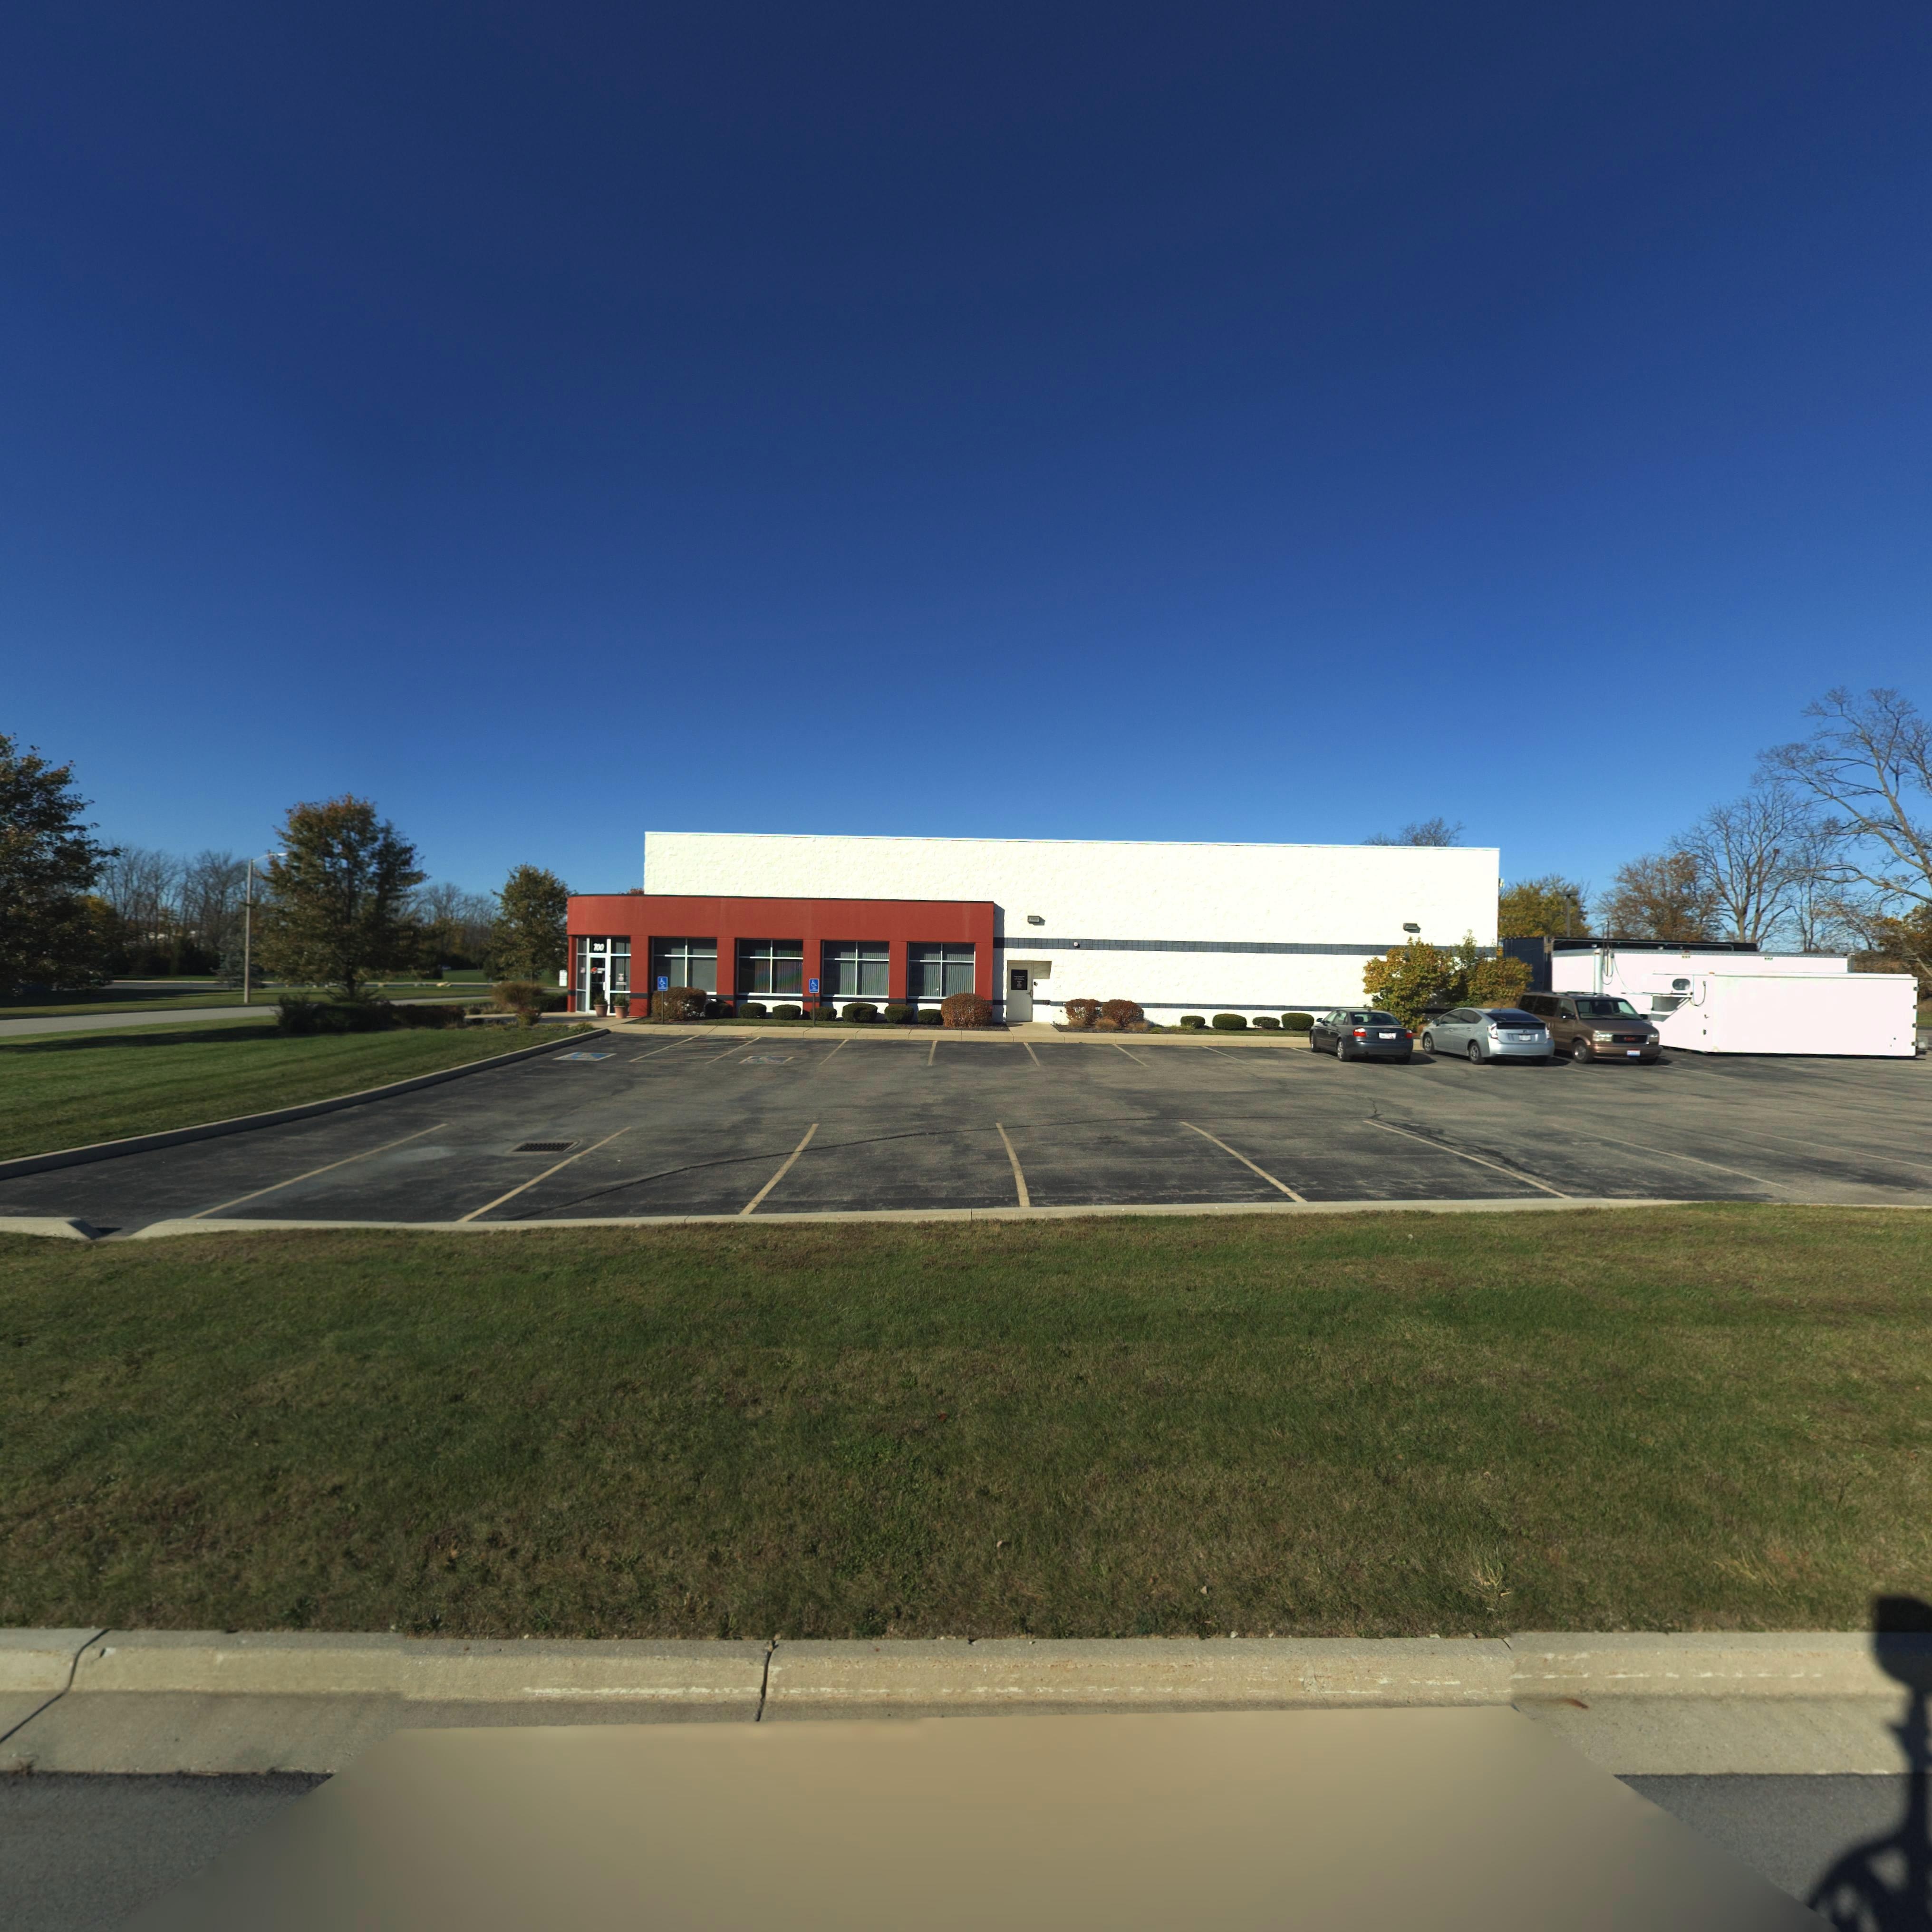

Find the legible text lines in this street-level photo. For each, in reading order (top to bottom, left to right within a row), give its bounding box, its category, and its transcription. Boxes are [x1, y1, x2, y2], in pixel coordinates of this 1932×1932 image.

[593, 942, 605, 952] StreetNumber: 700